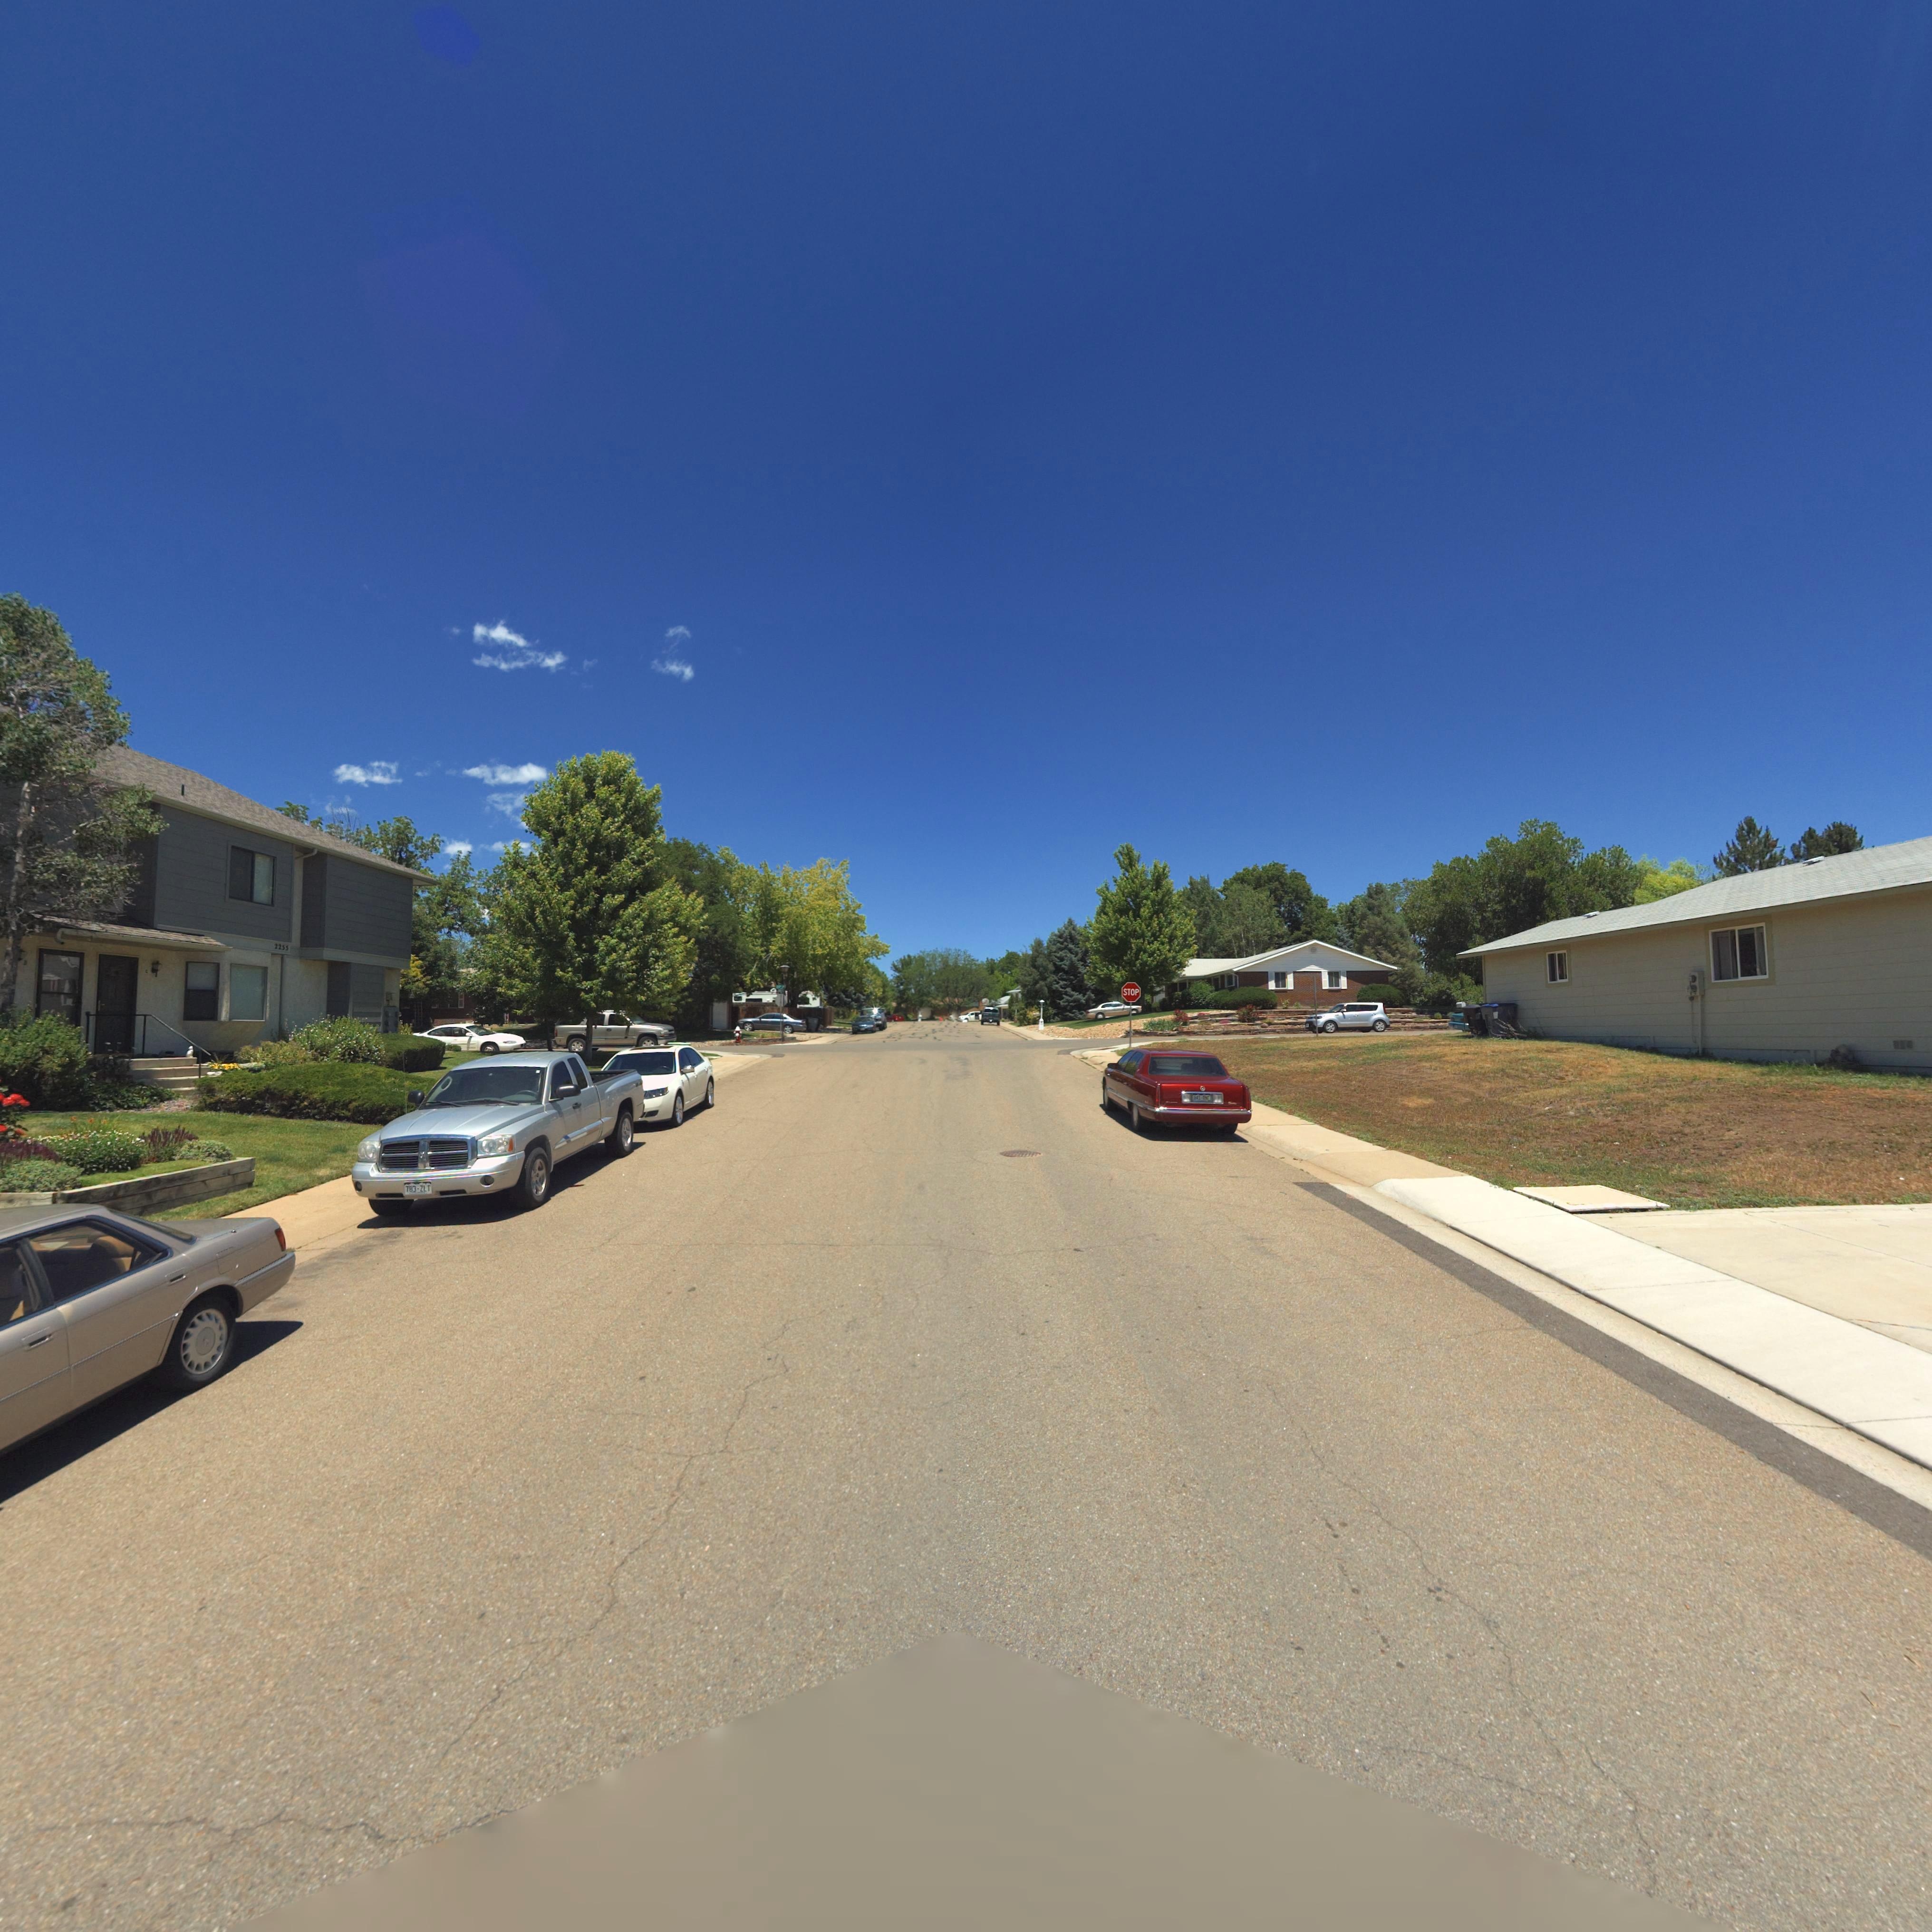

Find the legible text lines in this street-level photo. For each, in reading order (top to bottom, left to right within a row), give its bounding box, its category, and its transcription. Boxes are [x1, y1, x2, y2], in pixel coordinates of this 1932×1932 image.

[274, 943, 289, 951] StreetNumber: 2255